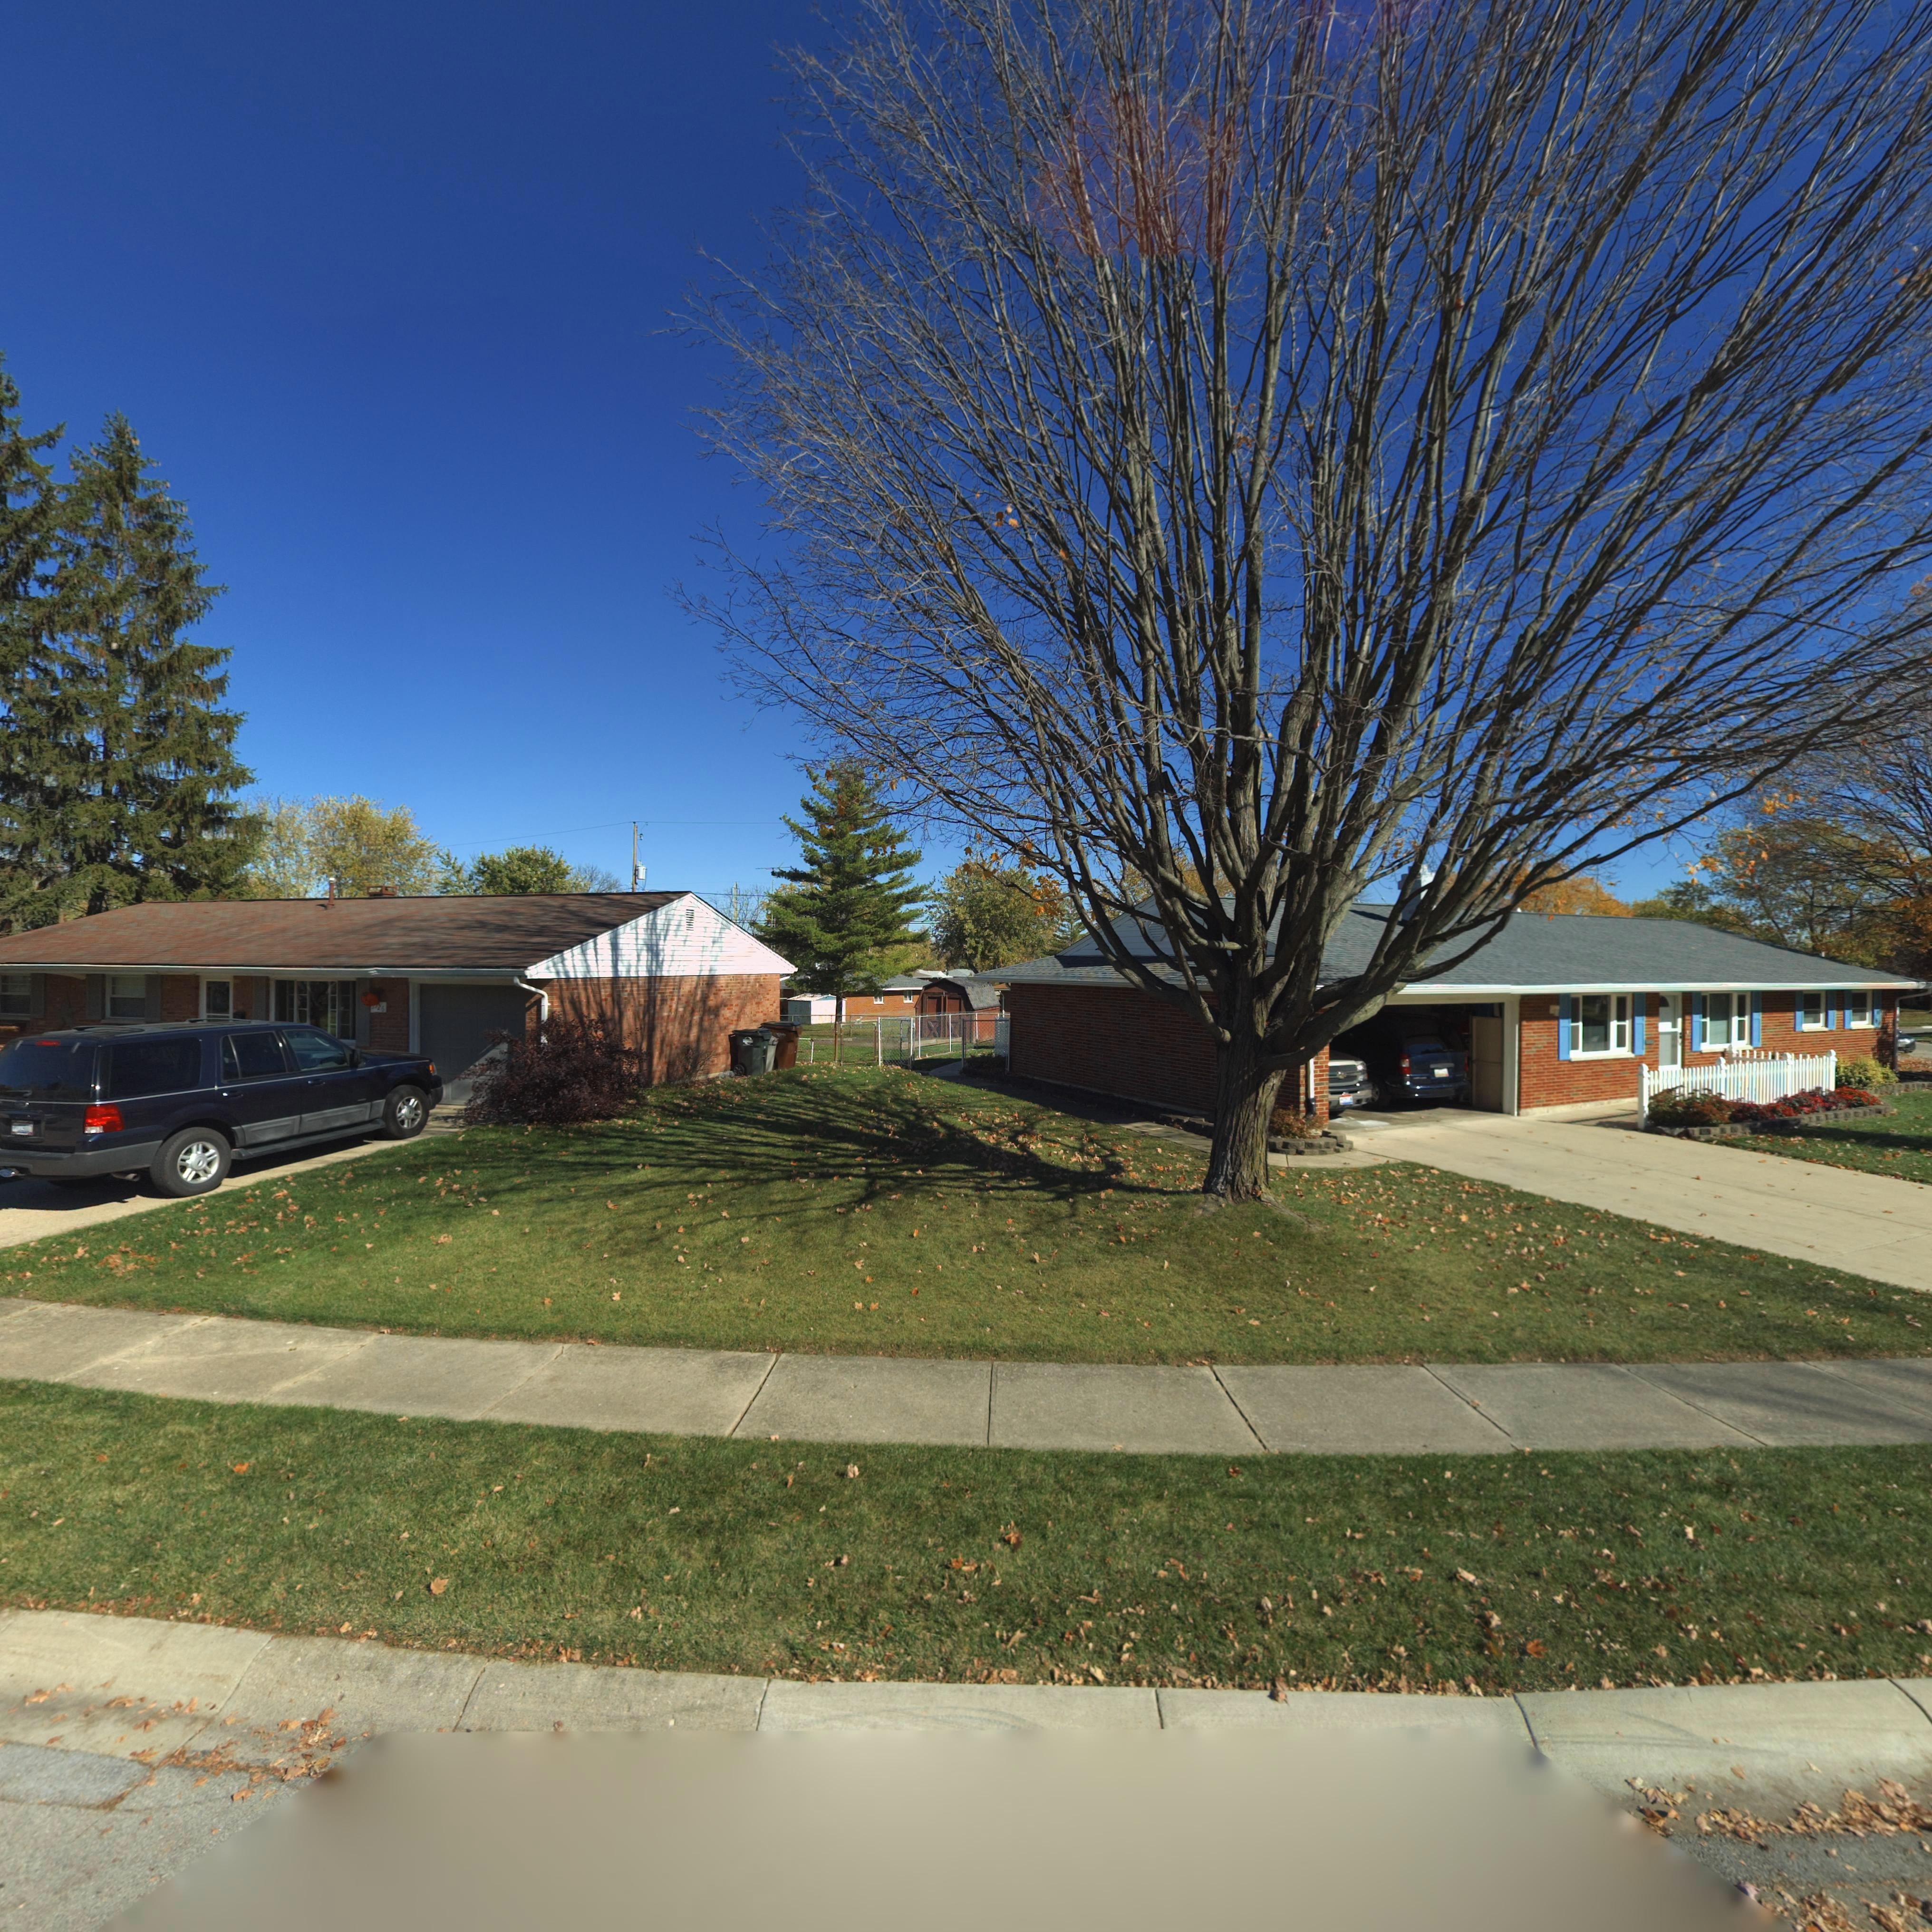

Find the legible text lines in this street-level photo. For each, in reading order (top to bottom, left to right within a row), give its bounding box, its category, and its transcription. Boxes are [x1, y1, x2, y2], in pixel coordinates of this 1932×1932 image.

[377, 1004, 386, 1013] StreetNumber: 26